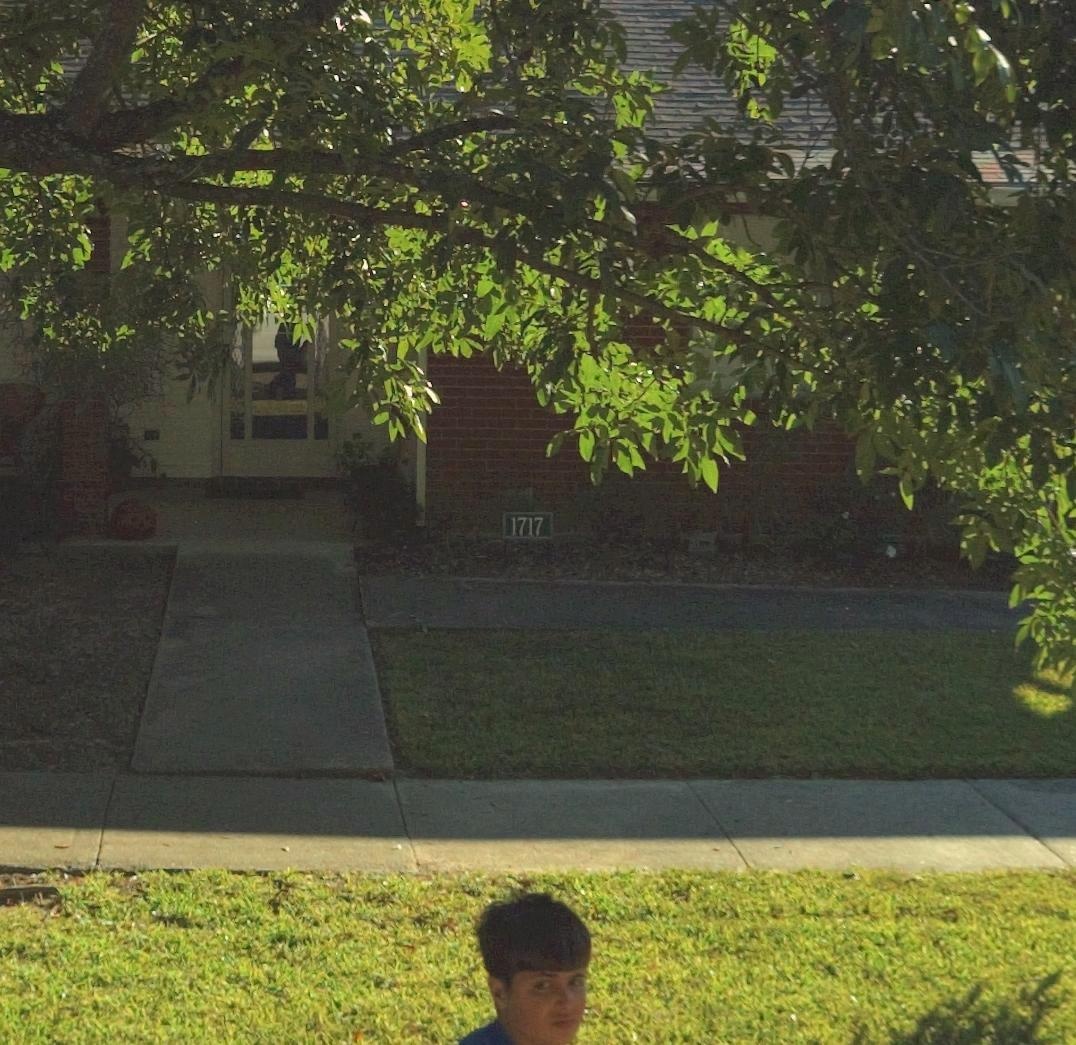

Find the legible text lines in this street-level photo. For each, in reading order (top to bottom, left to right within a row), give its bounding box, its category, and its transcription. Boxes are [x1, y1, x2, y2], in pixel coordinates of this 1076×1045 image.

[508, 514, 546, 538] StreetNumber: 1717